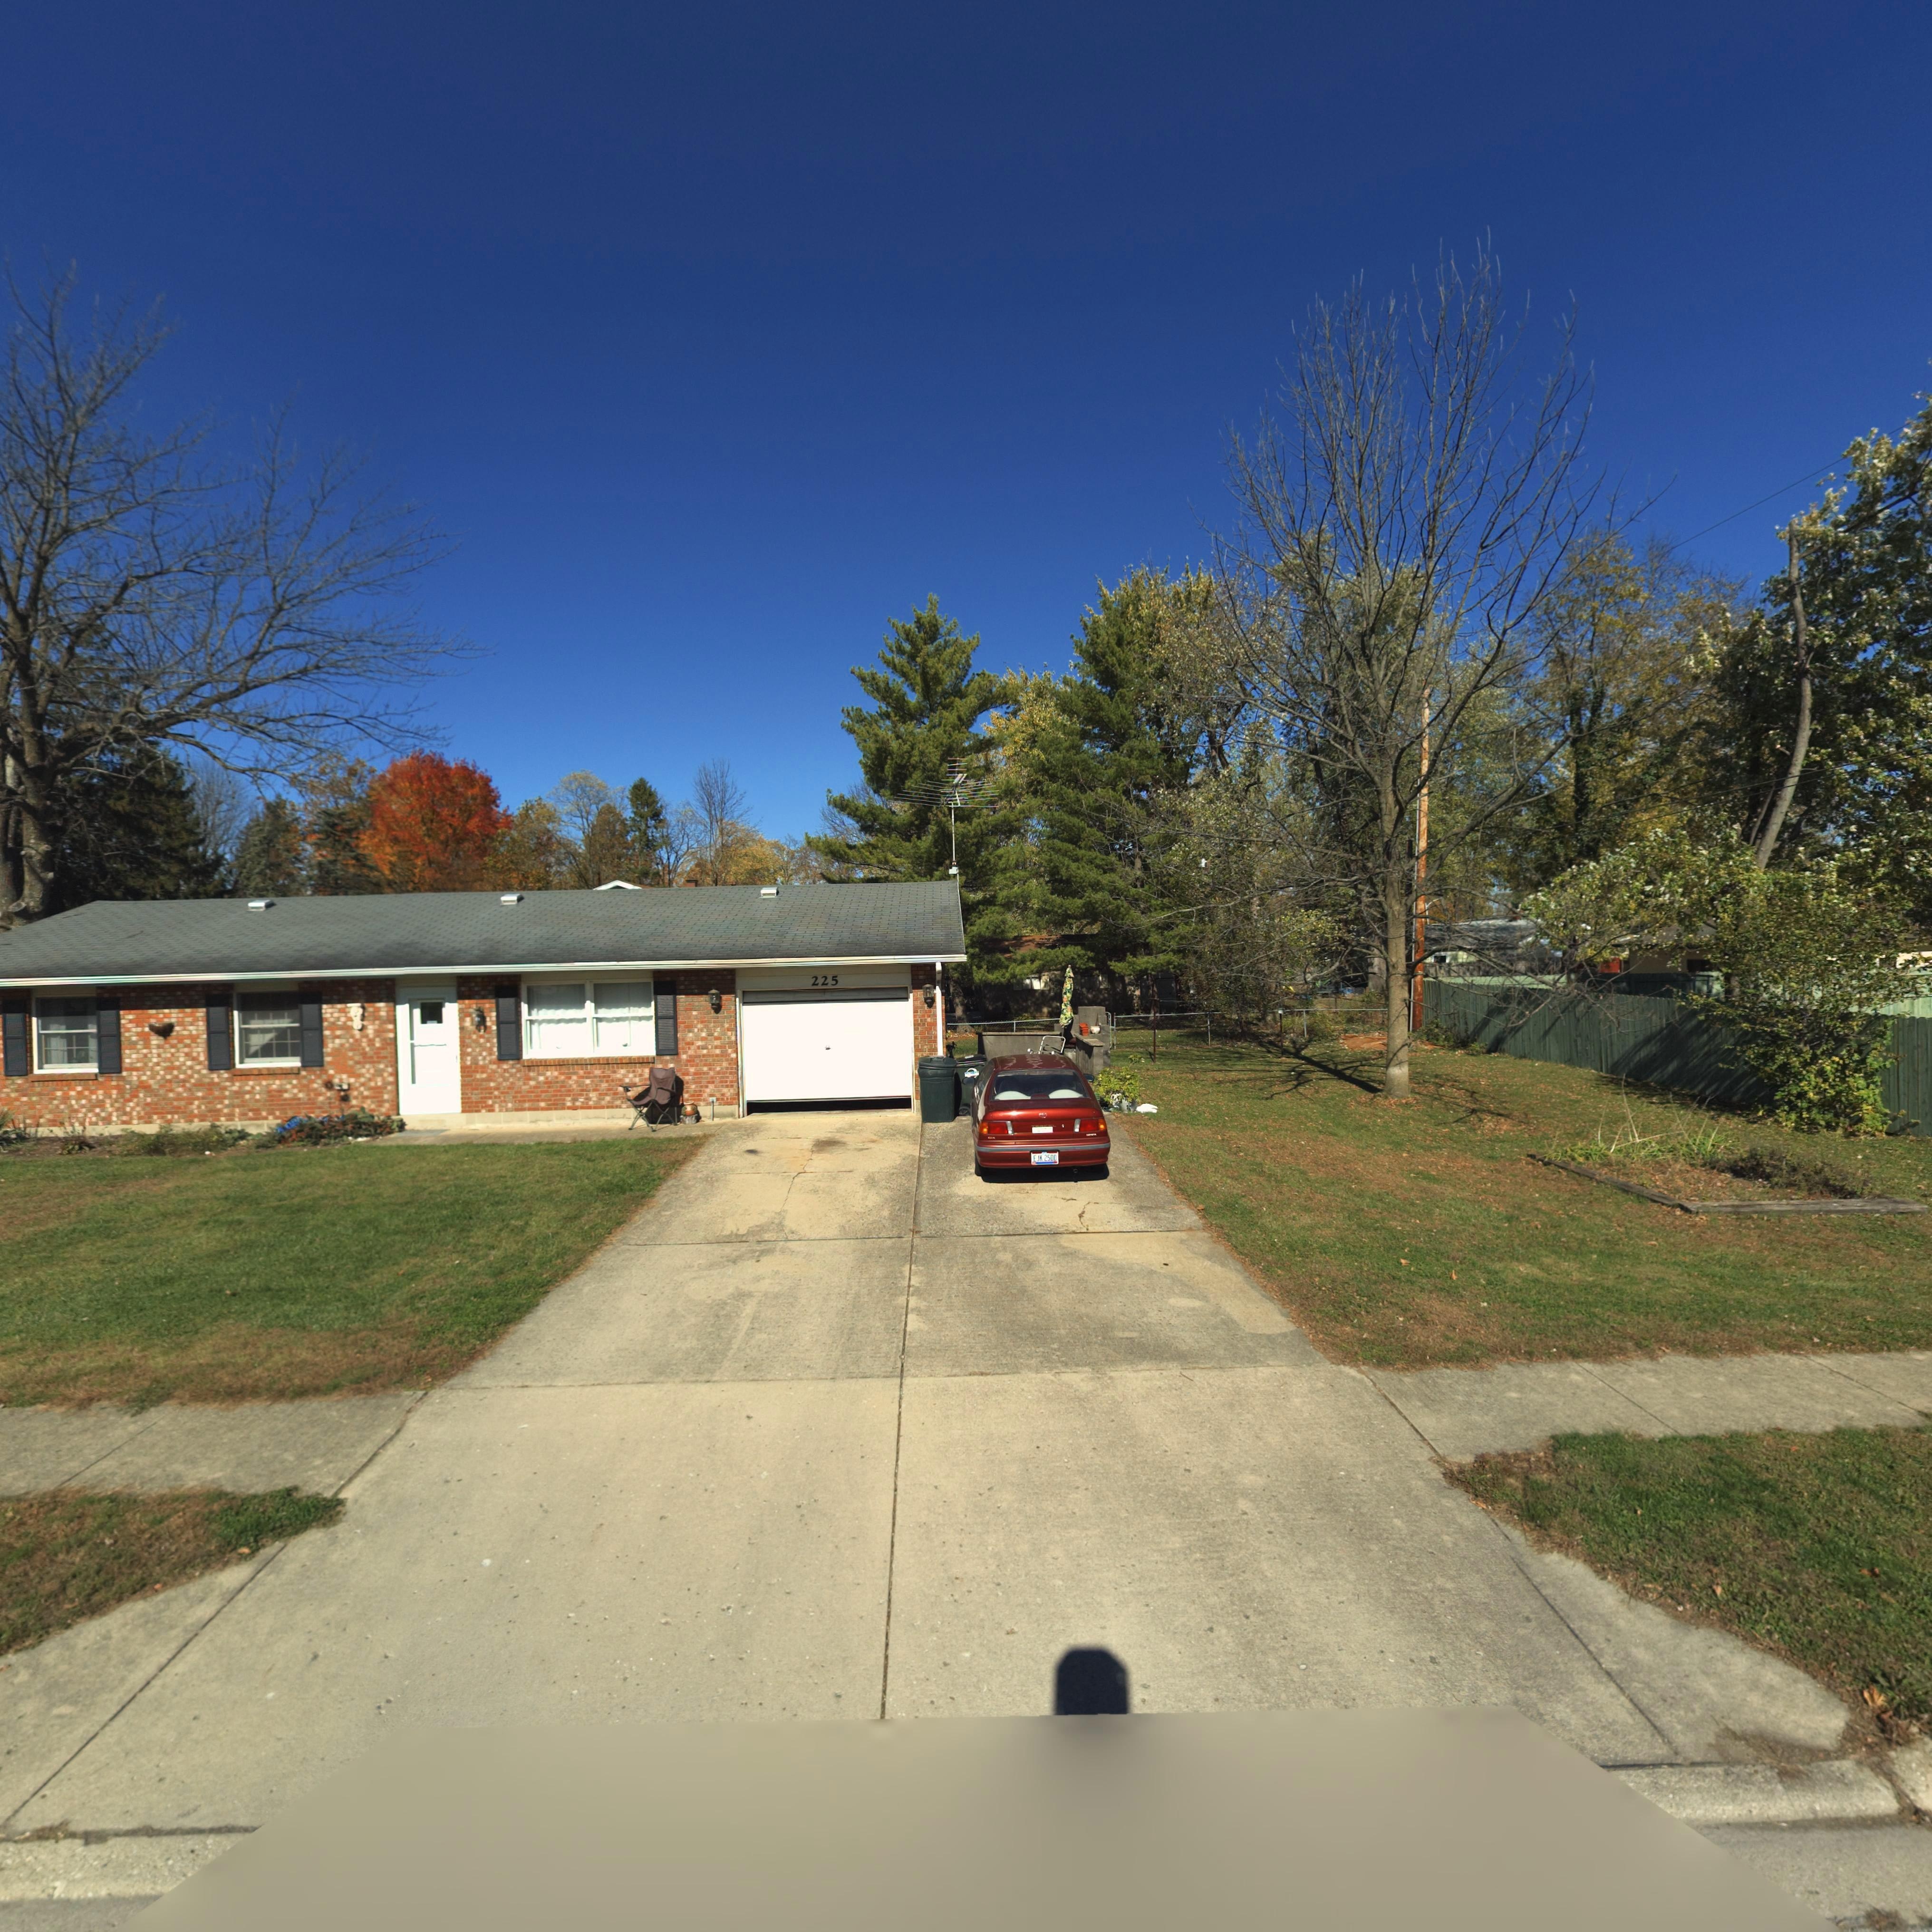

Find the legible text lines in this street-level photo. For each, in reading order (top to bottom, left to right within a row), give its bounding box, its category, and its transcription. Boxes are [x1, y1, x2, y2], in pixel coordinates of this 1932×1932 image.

[811, 975, 839, 986] StreetNumber: 225